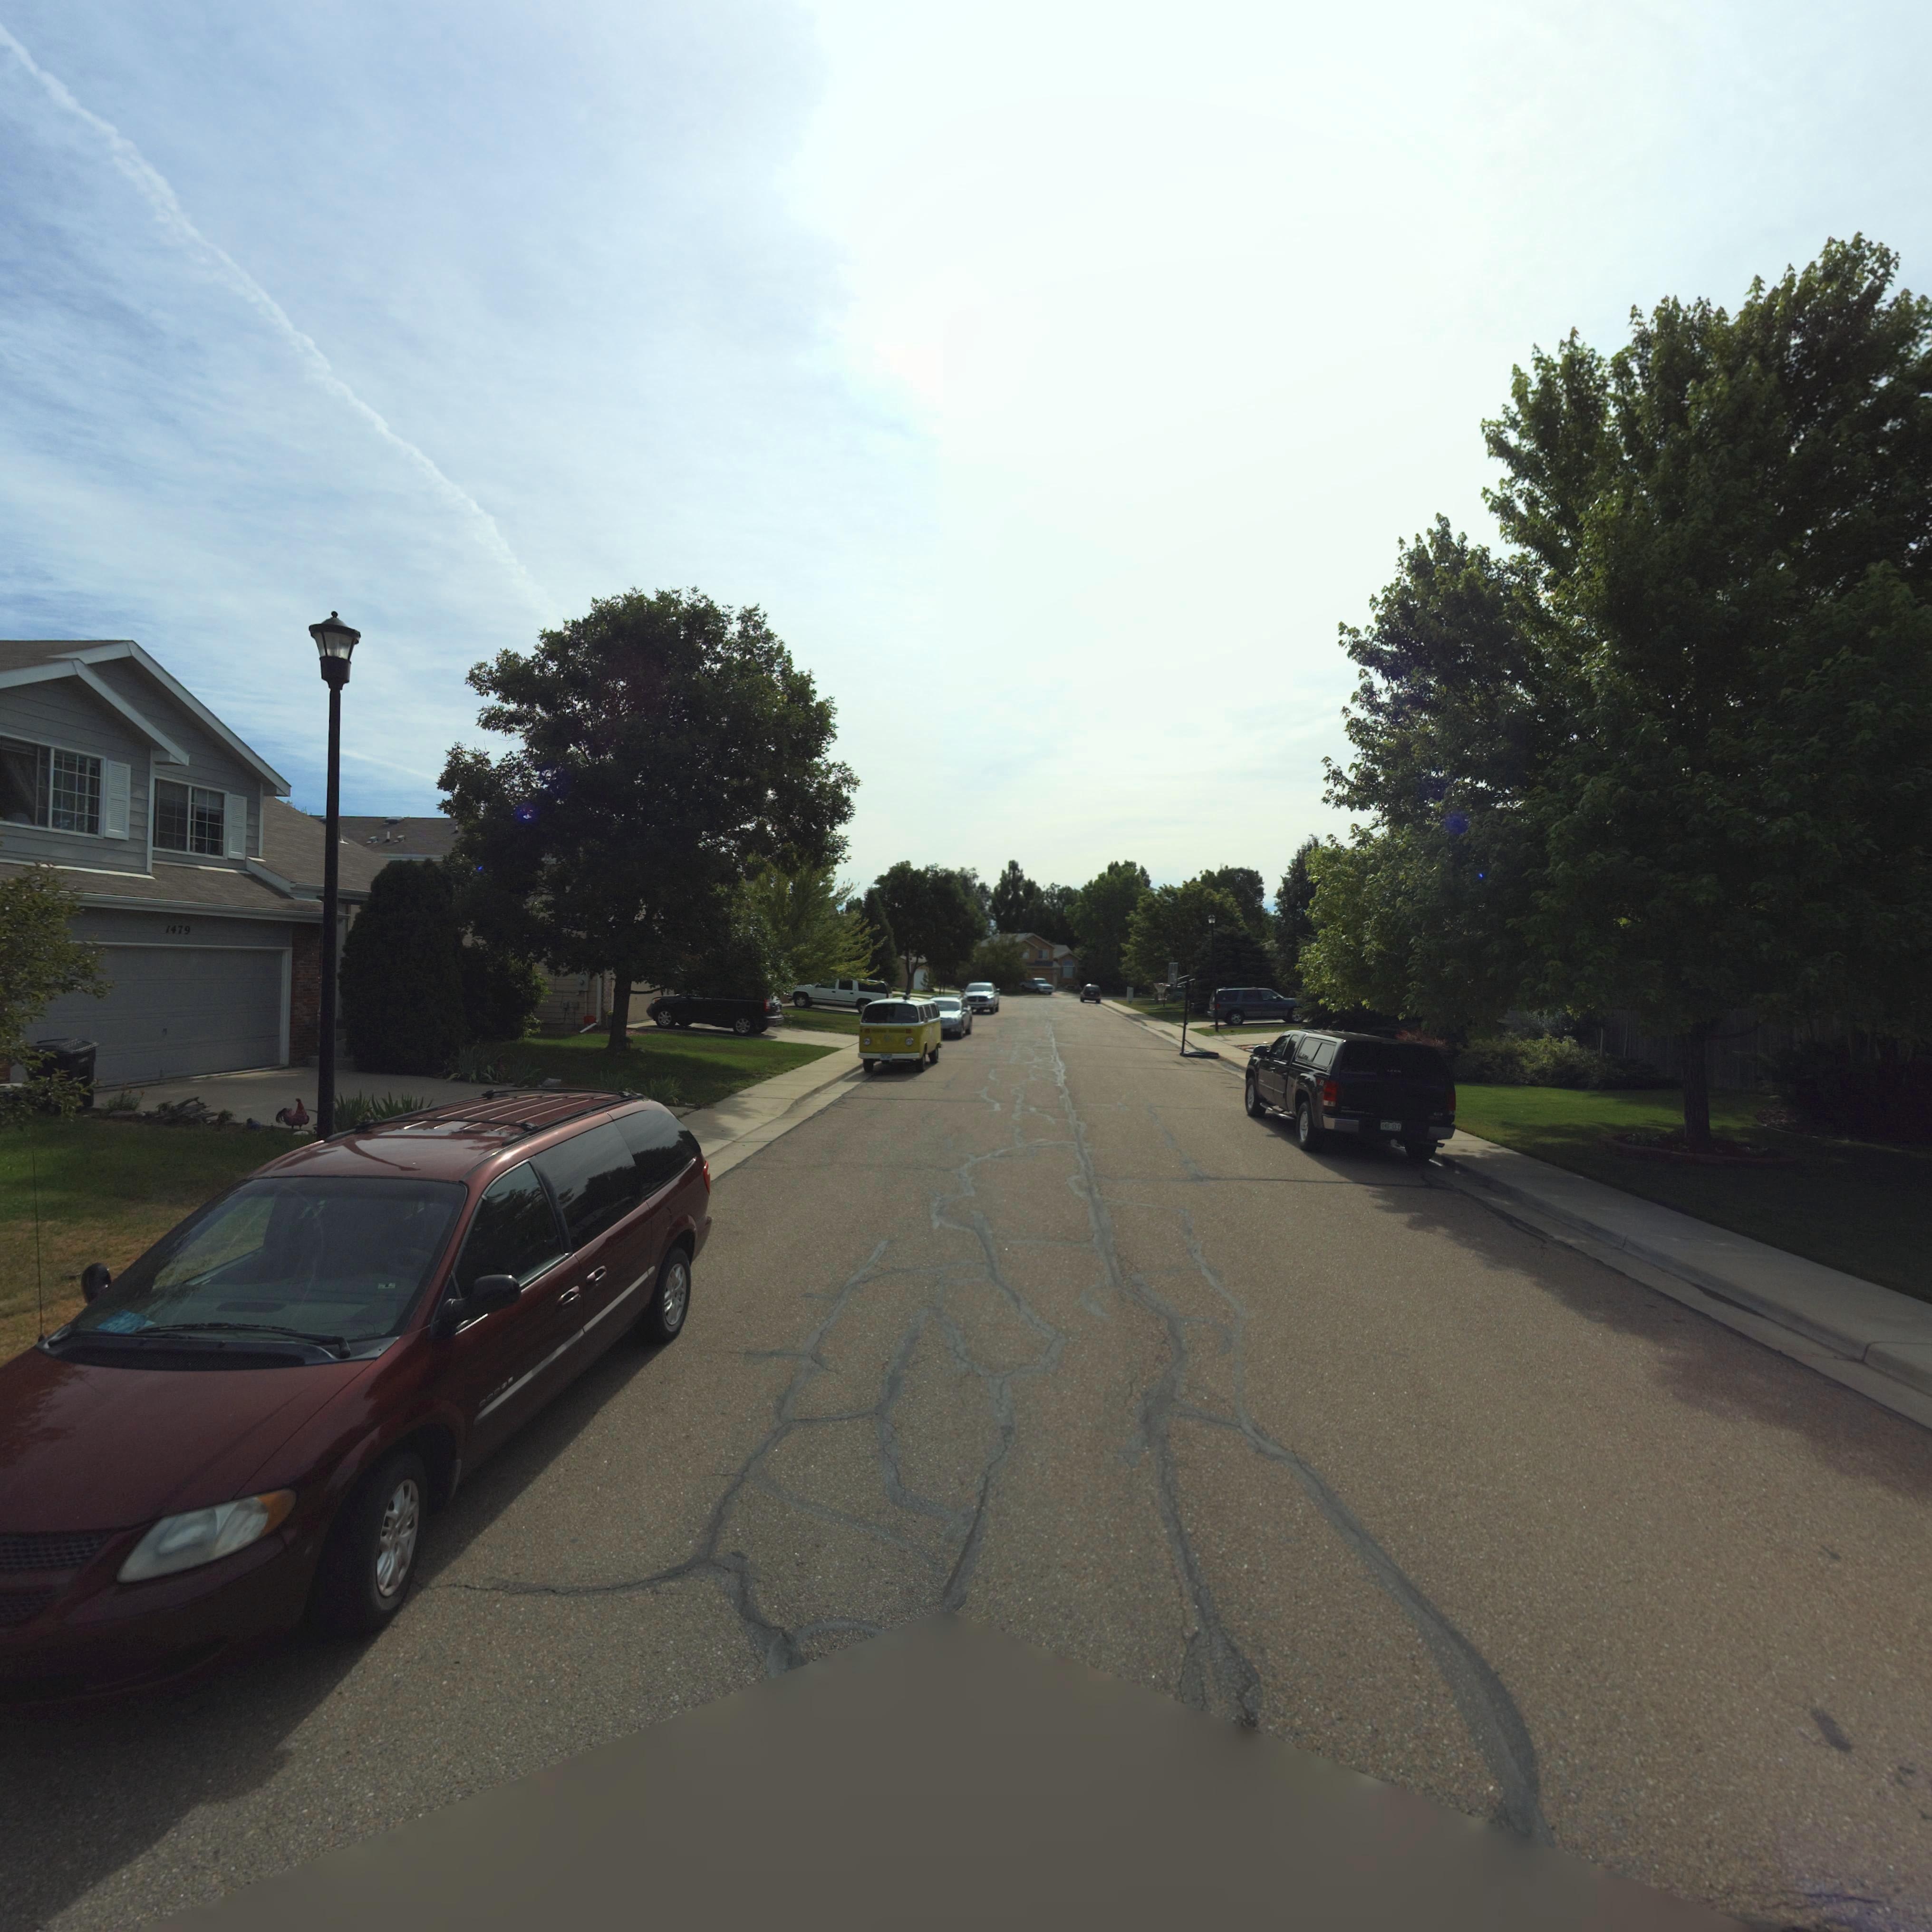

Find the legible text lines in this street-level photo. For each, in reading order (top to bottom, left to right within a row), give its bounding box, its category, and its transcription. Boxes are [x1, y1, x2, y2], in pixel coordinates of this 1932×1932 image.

[164, 924, 190, 935] StreetNumber: 1479